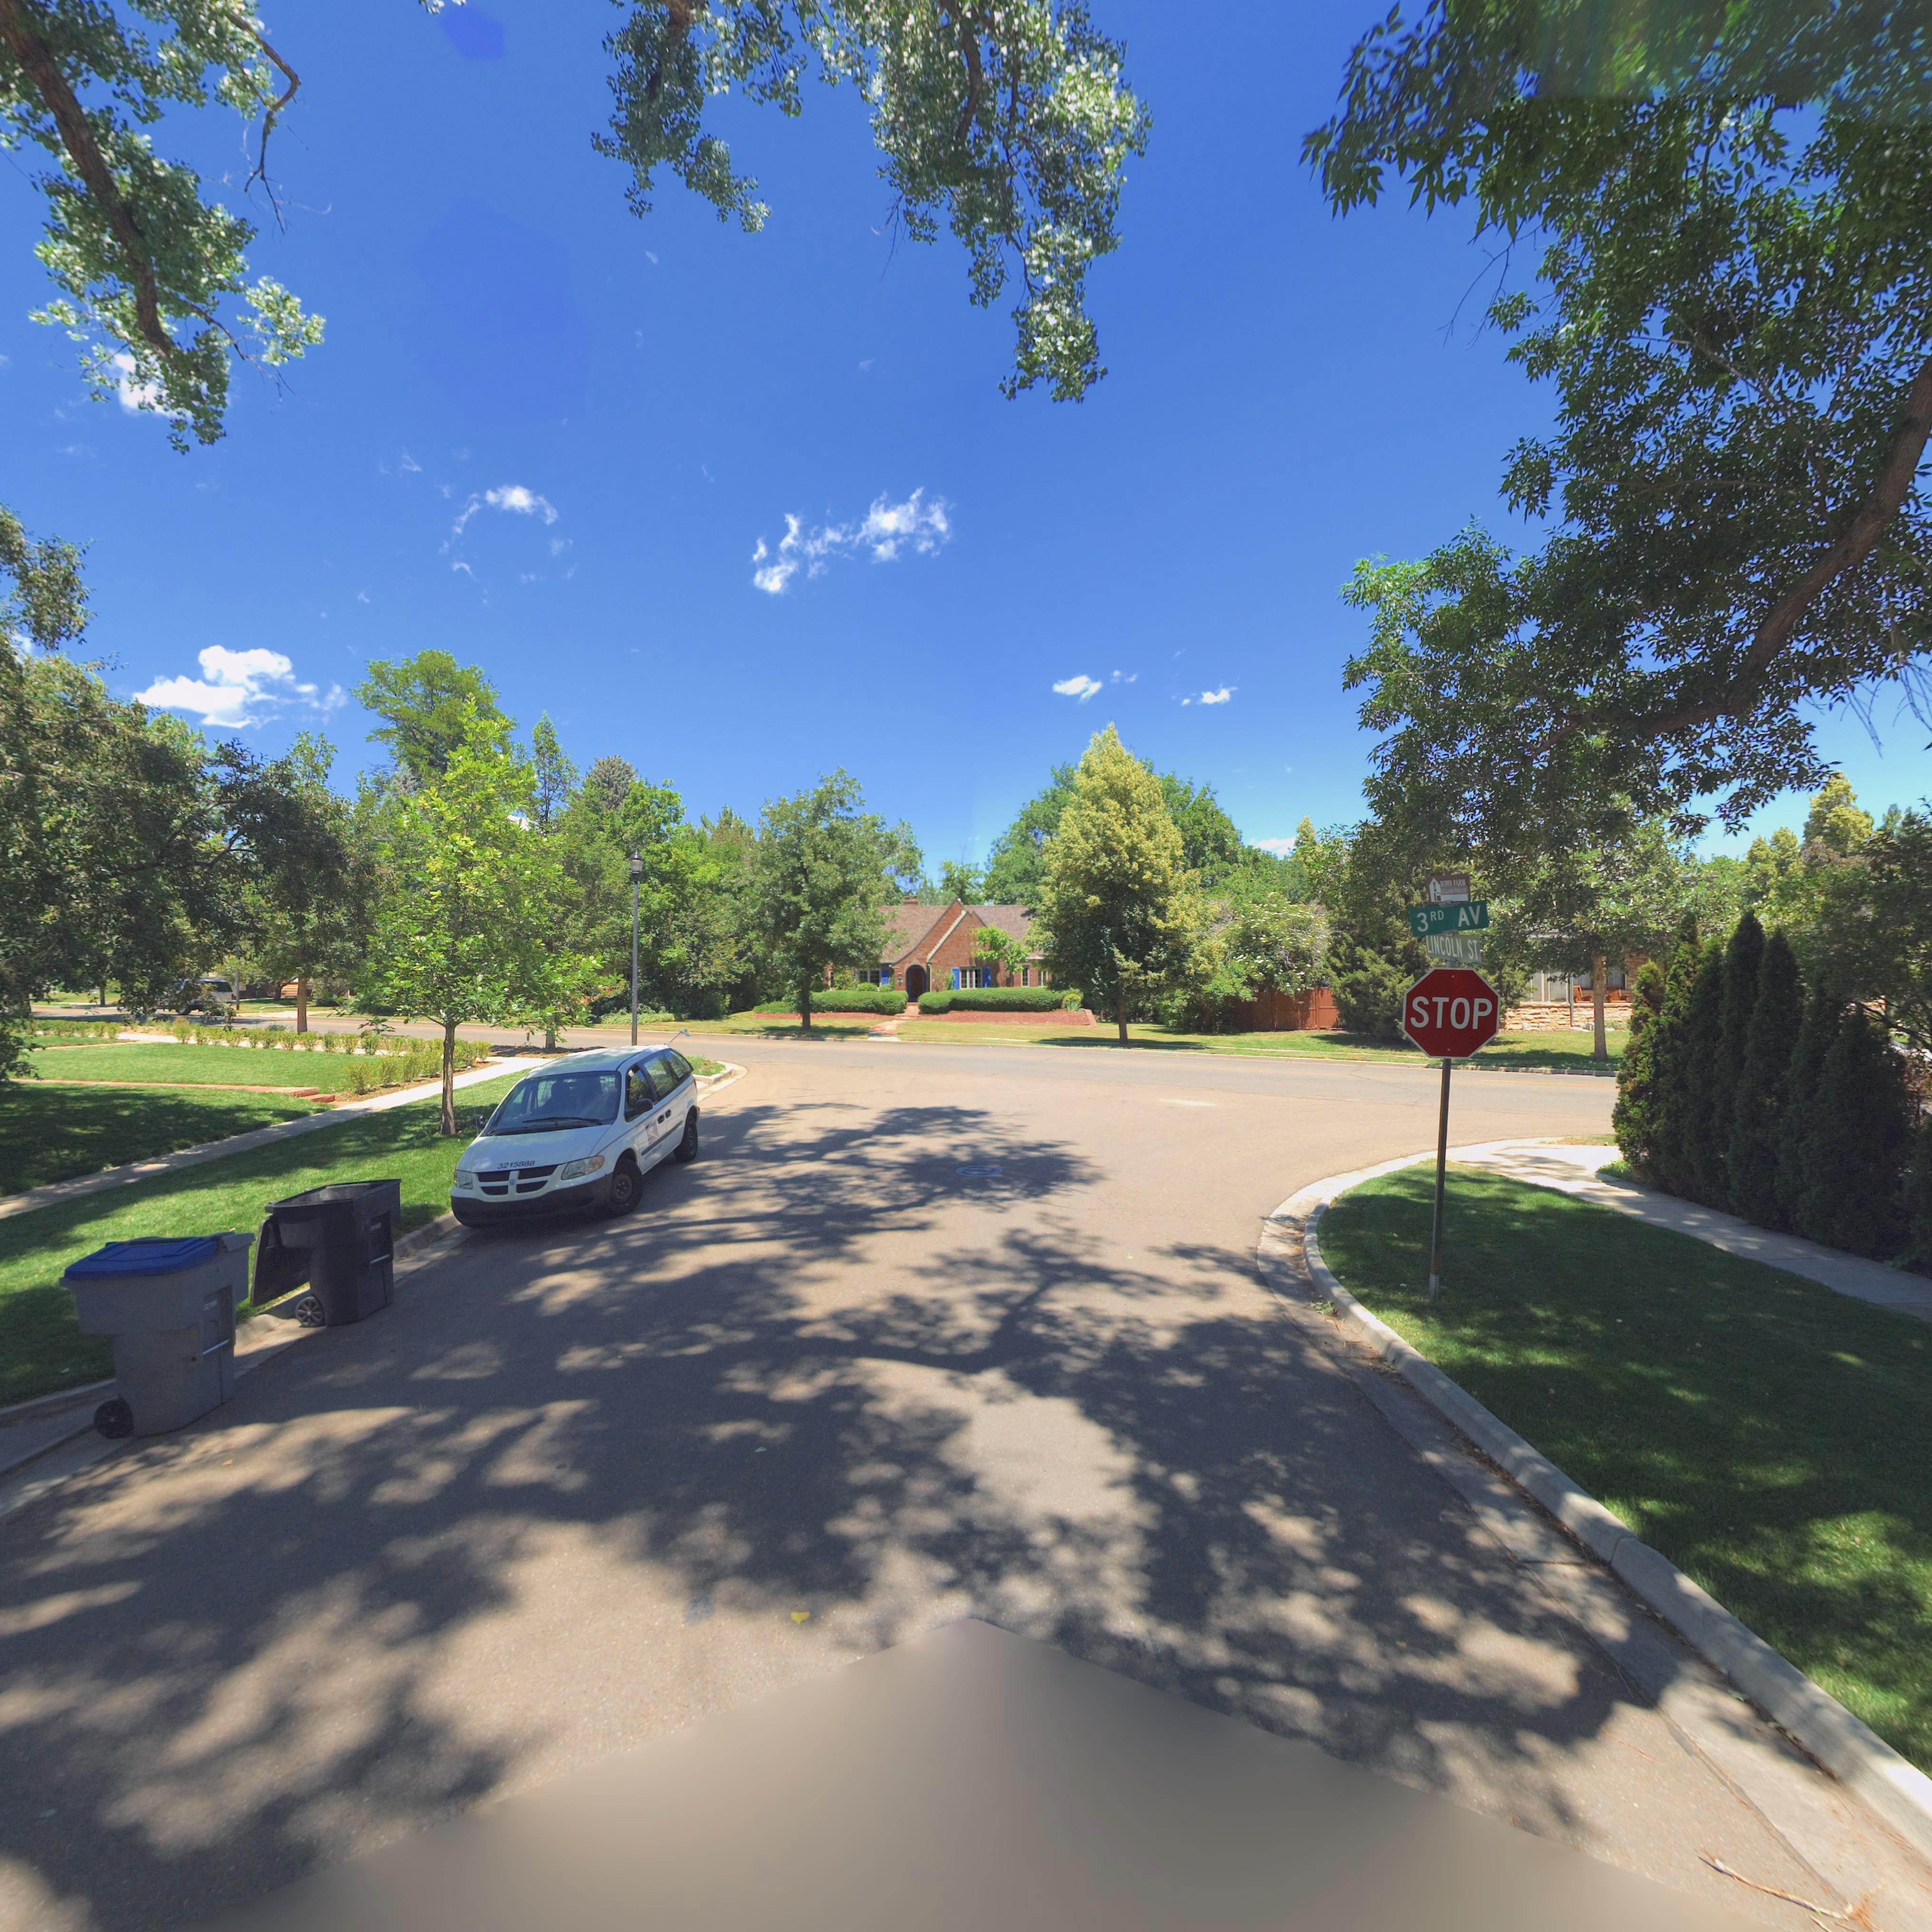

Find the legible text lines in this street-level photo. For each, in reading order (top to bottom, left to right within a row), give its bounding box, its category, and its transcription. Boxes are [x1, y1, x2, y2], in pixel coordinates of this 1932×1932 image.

[1416, 905, 1480, 932] StreetName: 3RD AV
[1426, 935, 1478, 960] StreetName: LINCOLN ST